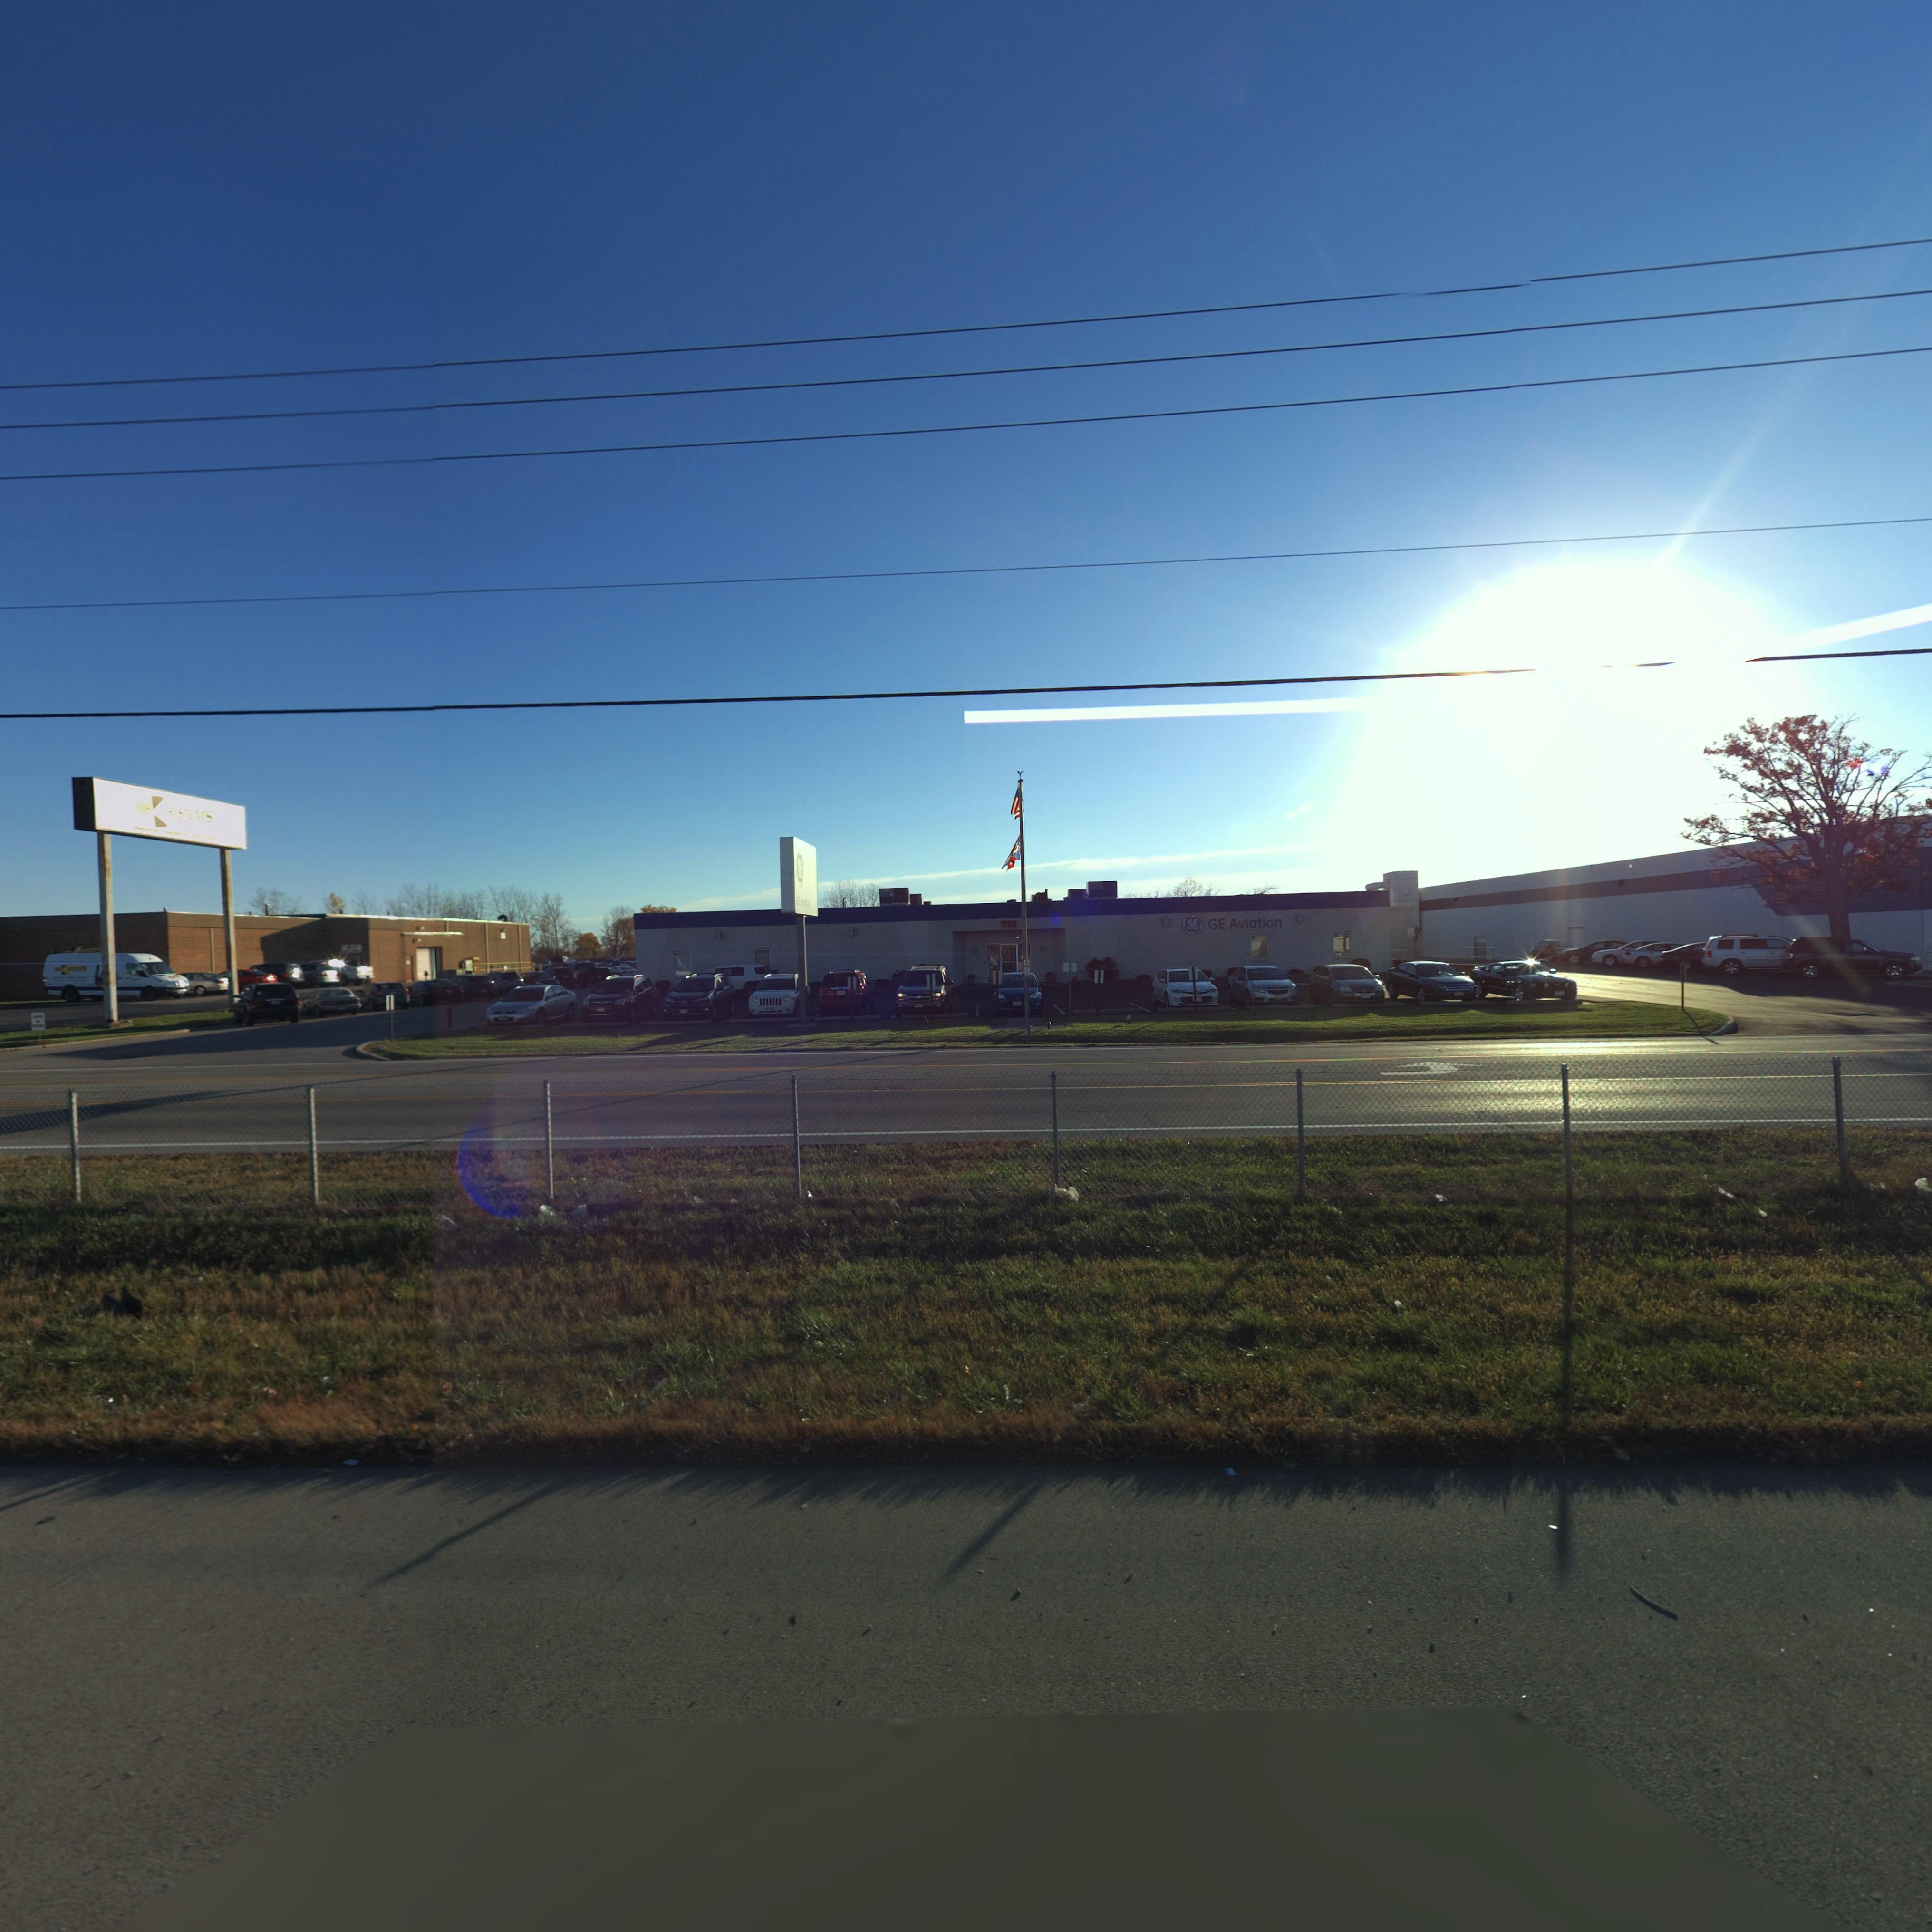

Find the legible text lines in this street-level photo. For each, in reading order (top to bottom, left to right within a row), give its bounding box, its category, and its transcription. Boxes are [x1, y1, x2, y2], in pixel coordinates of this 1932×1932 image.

[792, 892, 816, 912] BusinessName: GE AViation
[1000, 919, 1018, 930] StreetNumber: 701
[1185, 918, 1199, 932] BusinessName: gE
[1207, 918, 1284, 931] BusinessName: GE Aviation